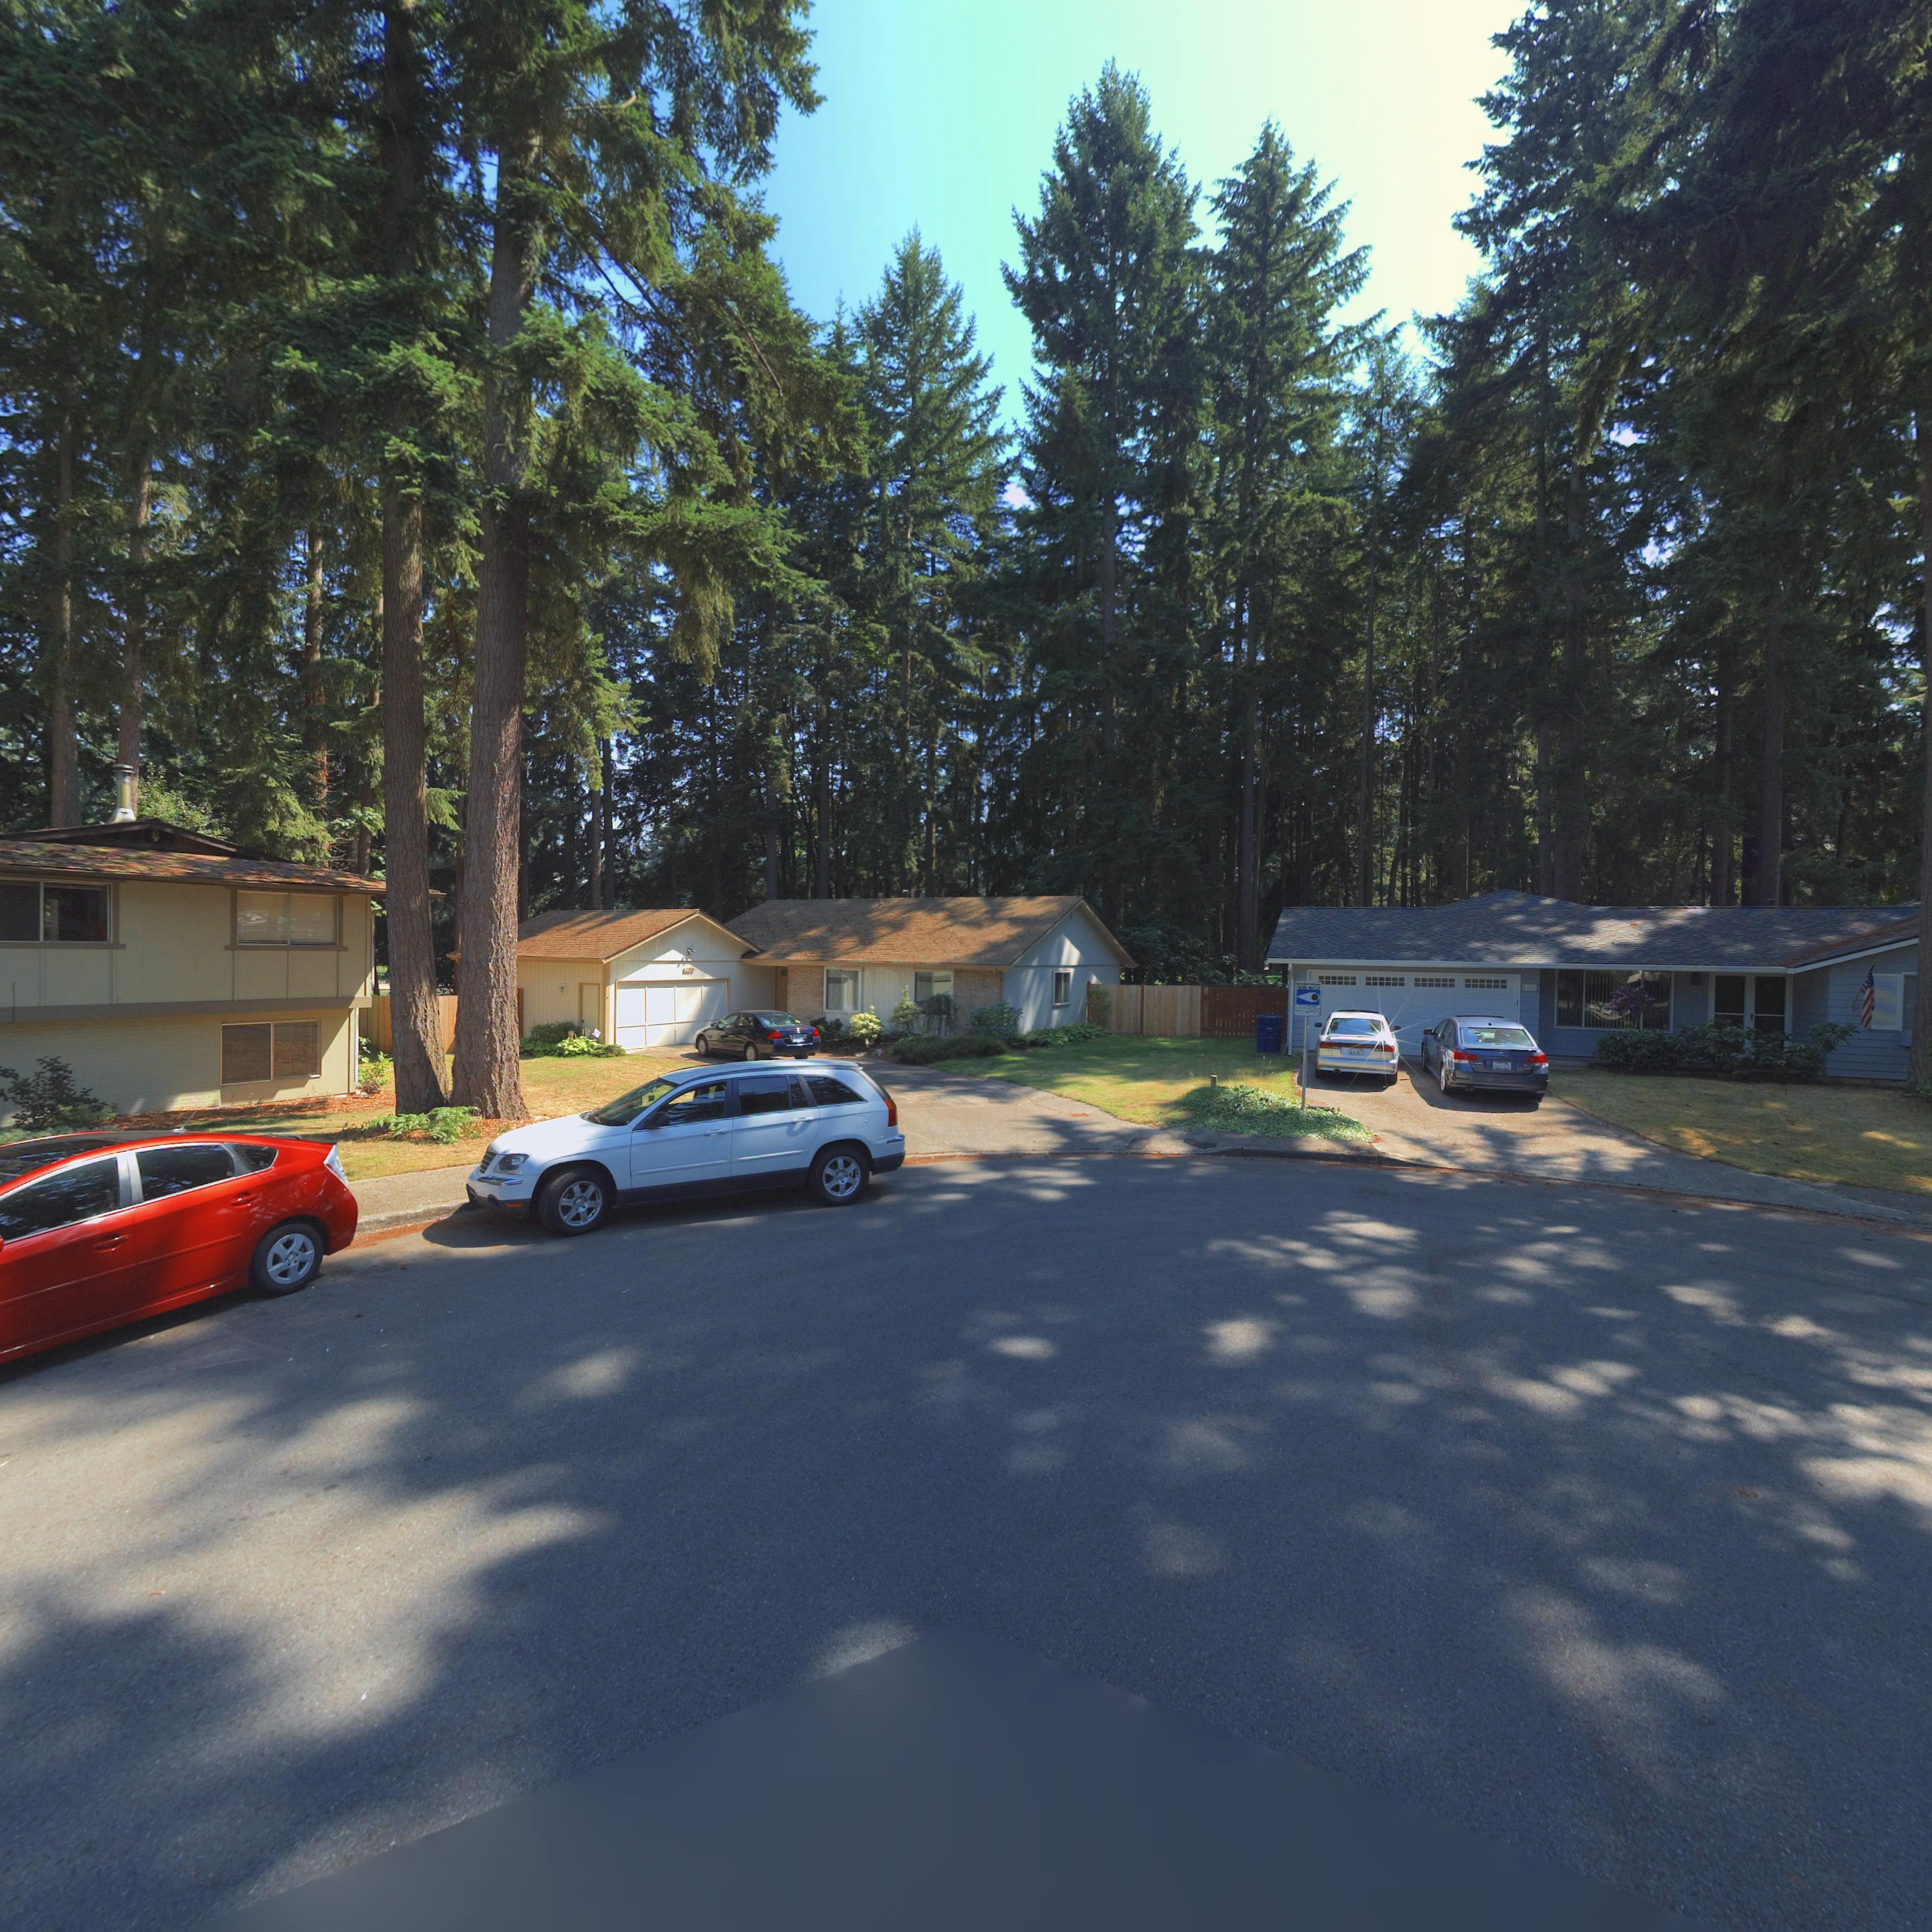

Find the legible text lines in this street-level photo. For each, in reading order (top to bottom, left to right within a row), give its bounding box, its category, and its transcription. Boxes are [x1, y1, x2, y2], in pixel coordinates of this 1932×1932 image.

[1522, 985, 1536, 990] StreetNumber: 1401